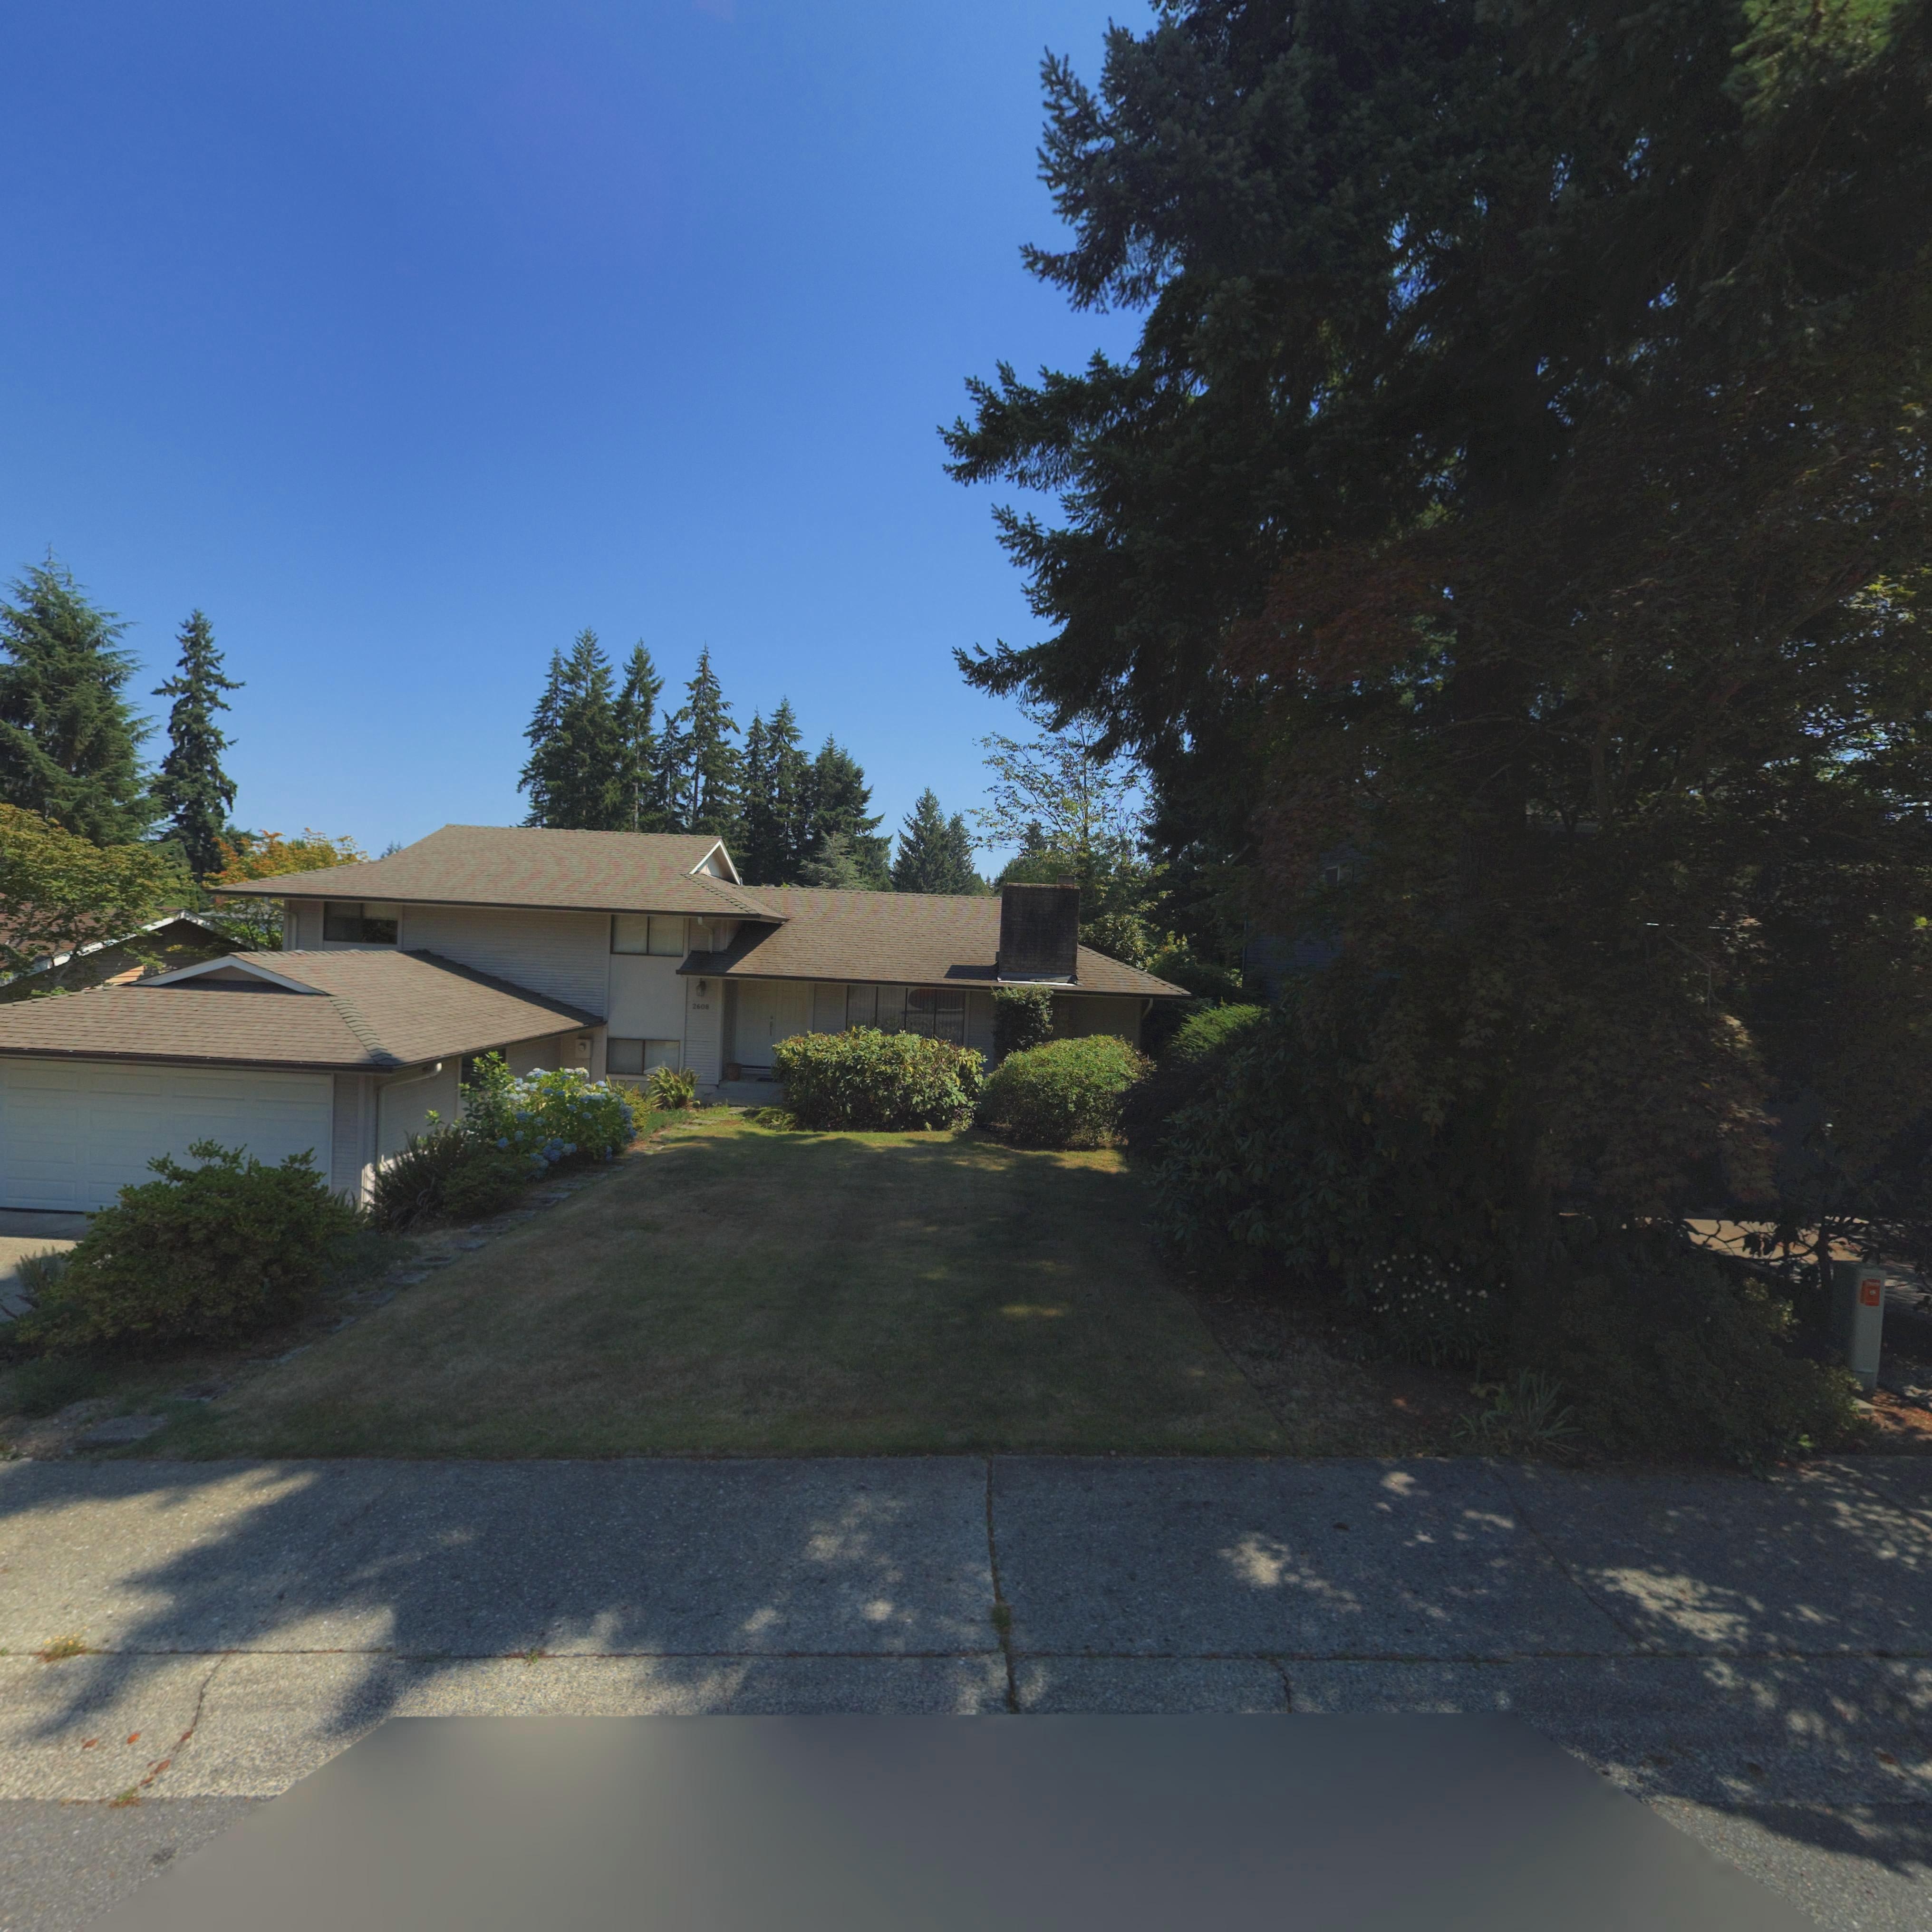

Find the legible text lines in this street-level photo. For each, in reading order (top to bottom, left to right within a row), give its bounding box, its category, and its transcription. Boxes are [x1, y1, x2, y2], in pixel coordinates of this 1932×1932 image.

[692, 1002, 710, 1010] StreetNumber: 2608